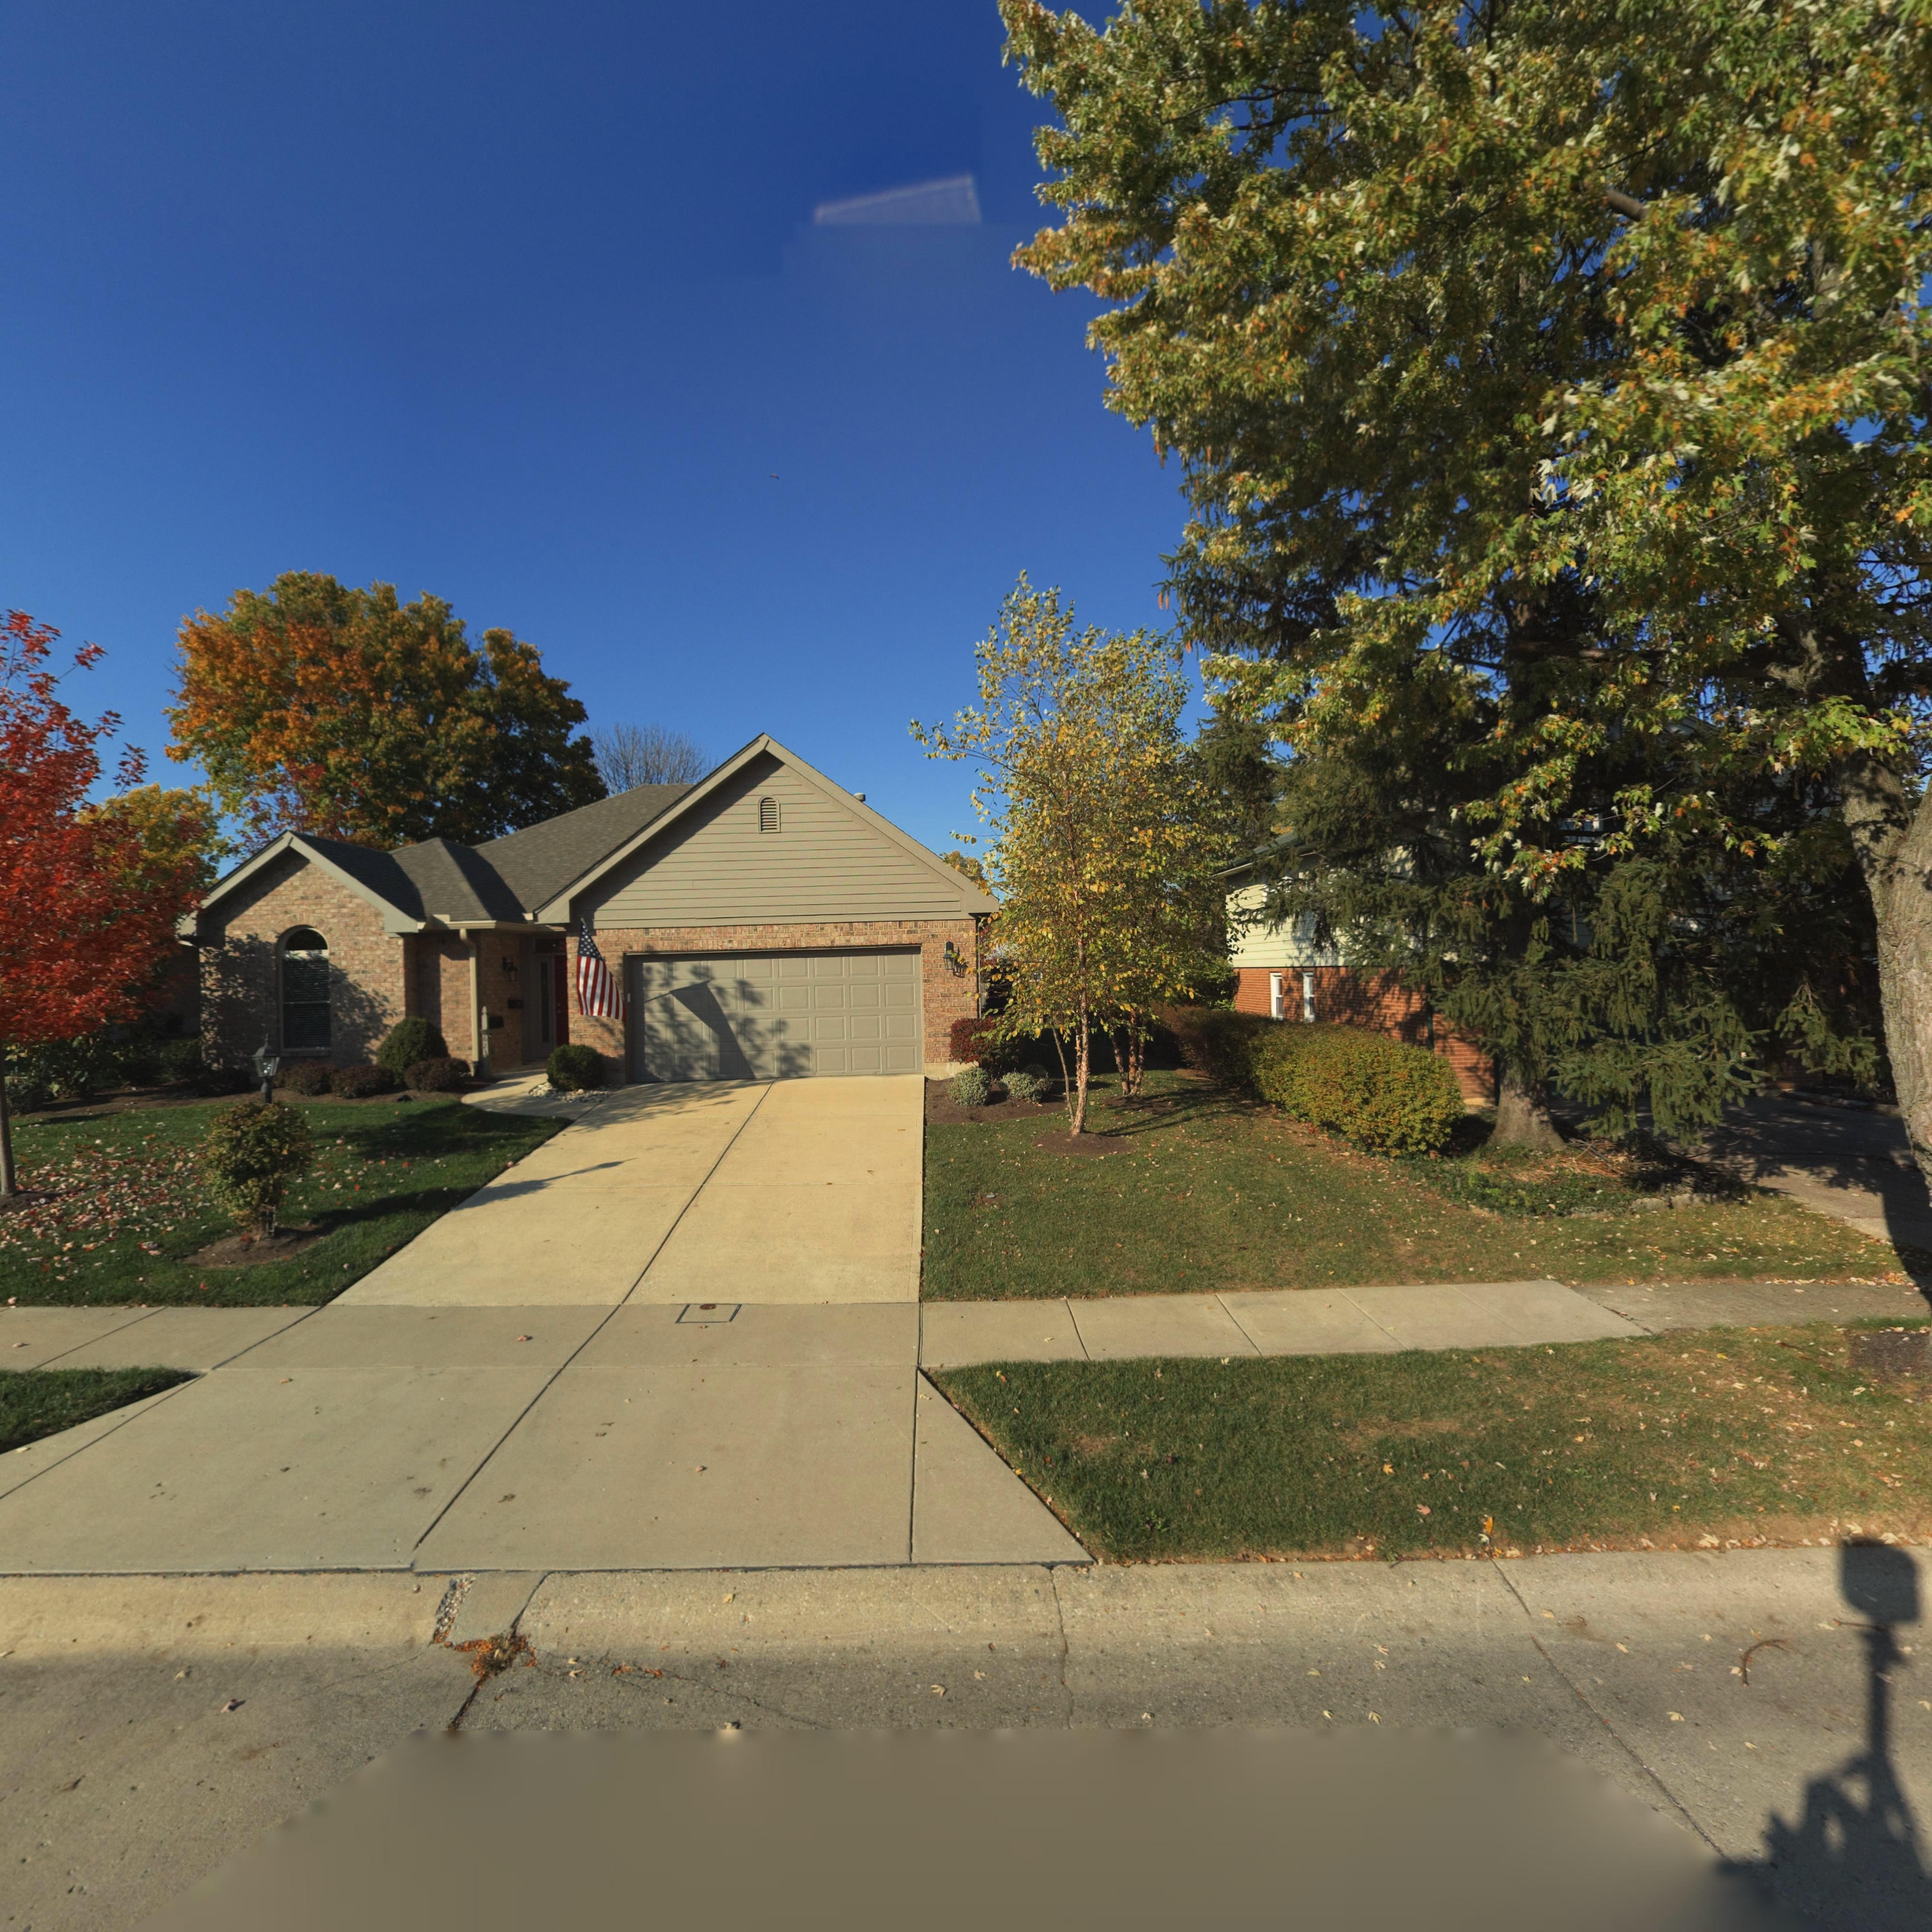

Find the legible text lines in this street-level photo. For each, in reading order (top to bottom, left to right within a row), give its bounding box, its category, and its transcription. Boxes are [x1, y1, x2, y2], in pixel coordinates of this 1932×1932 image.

[483, 1035, 489, 1057] StreetNumber: 623